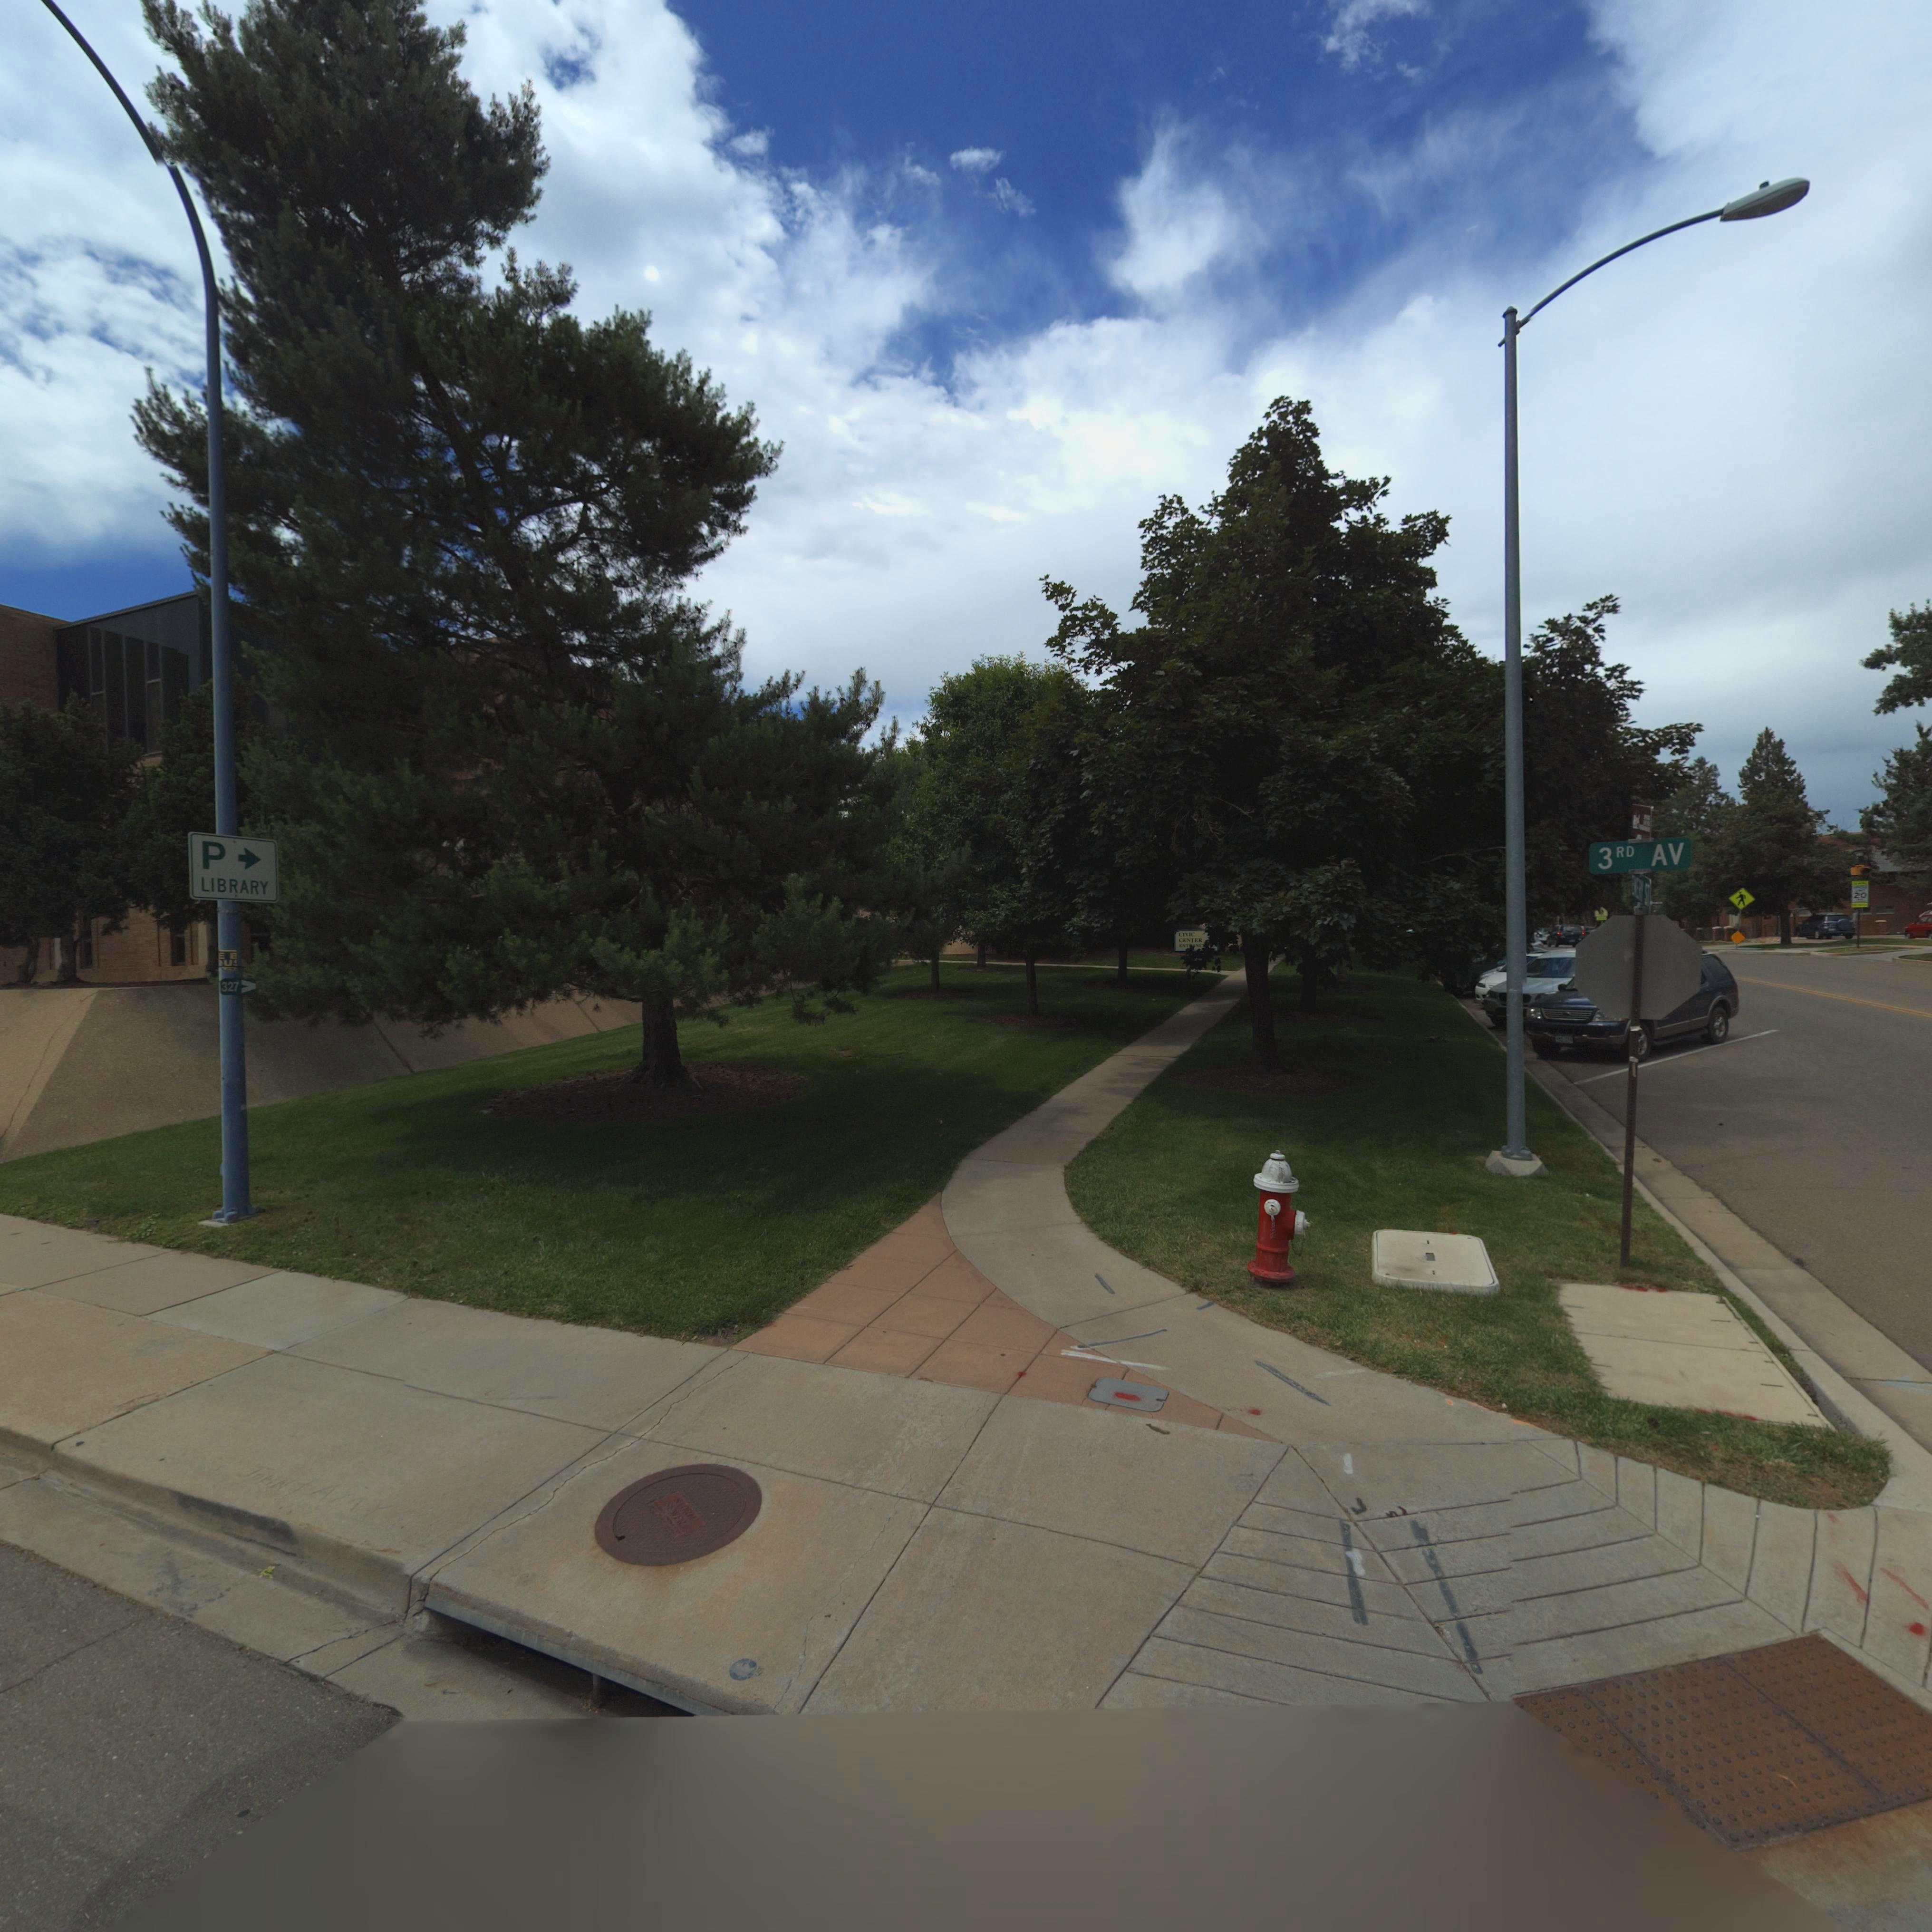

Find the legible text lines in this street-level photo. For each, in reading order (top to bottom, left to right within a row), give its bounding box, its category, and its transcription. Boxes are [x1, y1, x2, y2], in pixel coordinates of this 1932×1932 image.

[1596, 841, 1685, 870] StreetName: 3RD AV
[1631, 874, 1650, 907] StreetName: EM*** ST
[1178, 932, 1195, 937] BusinessName: CIVIC
[1179, 938, 1202, 942] BusinessName: CENTER